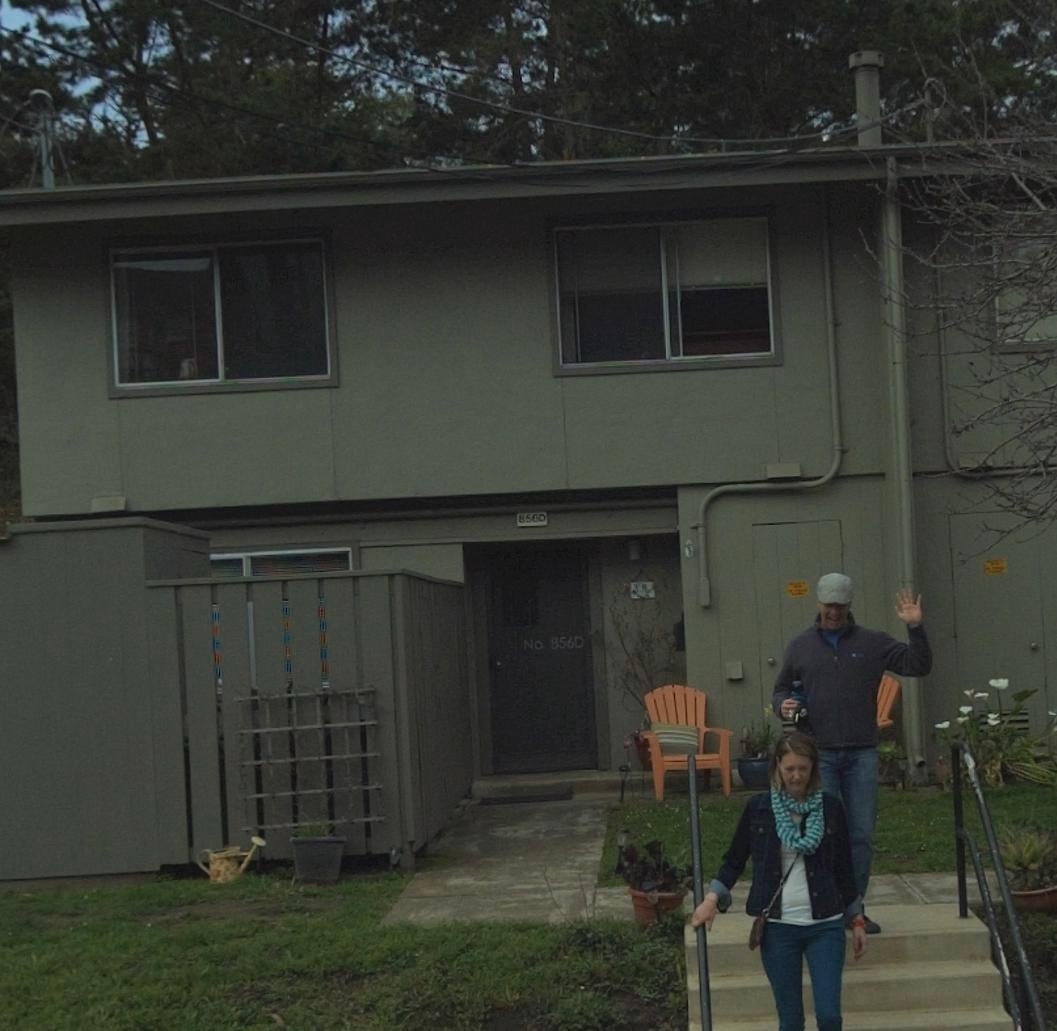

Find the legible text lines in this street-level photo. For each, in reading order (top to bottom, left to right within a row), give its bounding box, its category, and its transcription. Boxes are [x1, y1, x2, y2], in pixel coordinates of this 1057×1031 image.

[518, 513, 546, 524] StreetNumber: 856*
[523, 638, 544, 652] None: No
[550, 635, 586, 650] StreetNumber: 856D